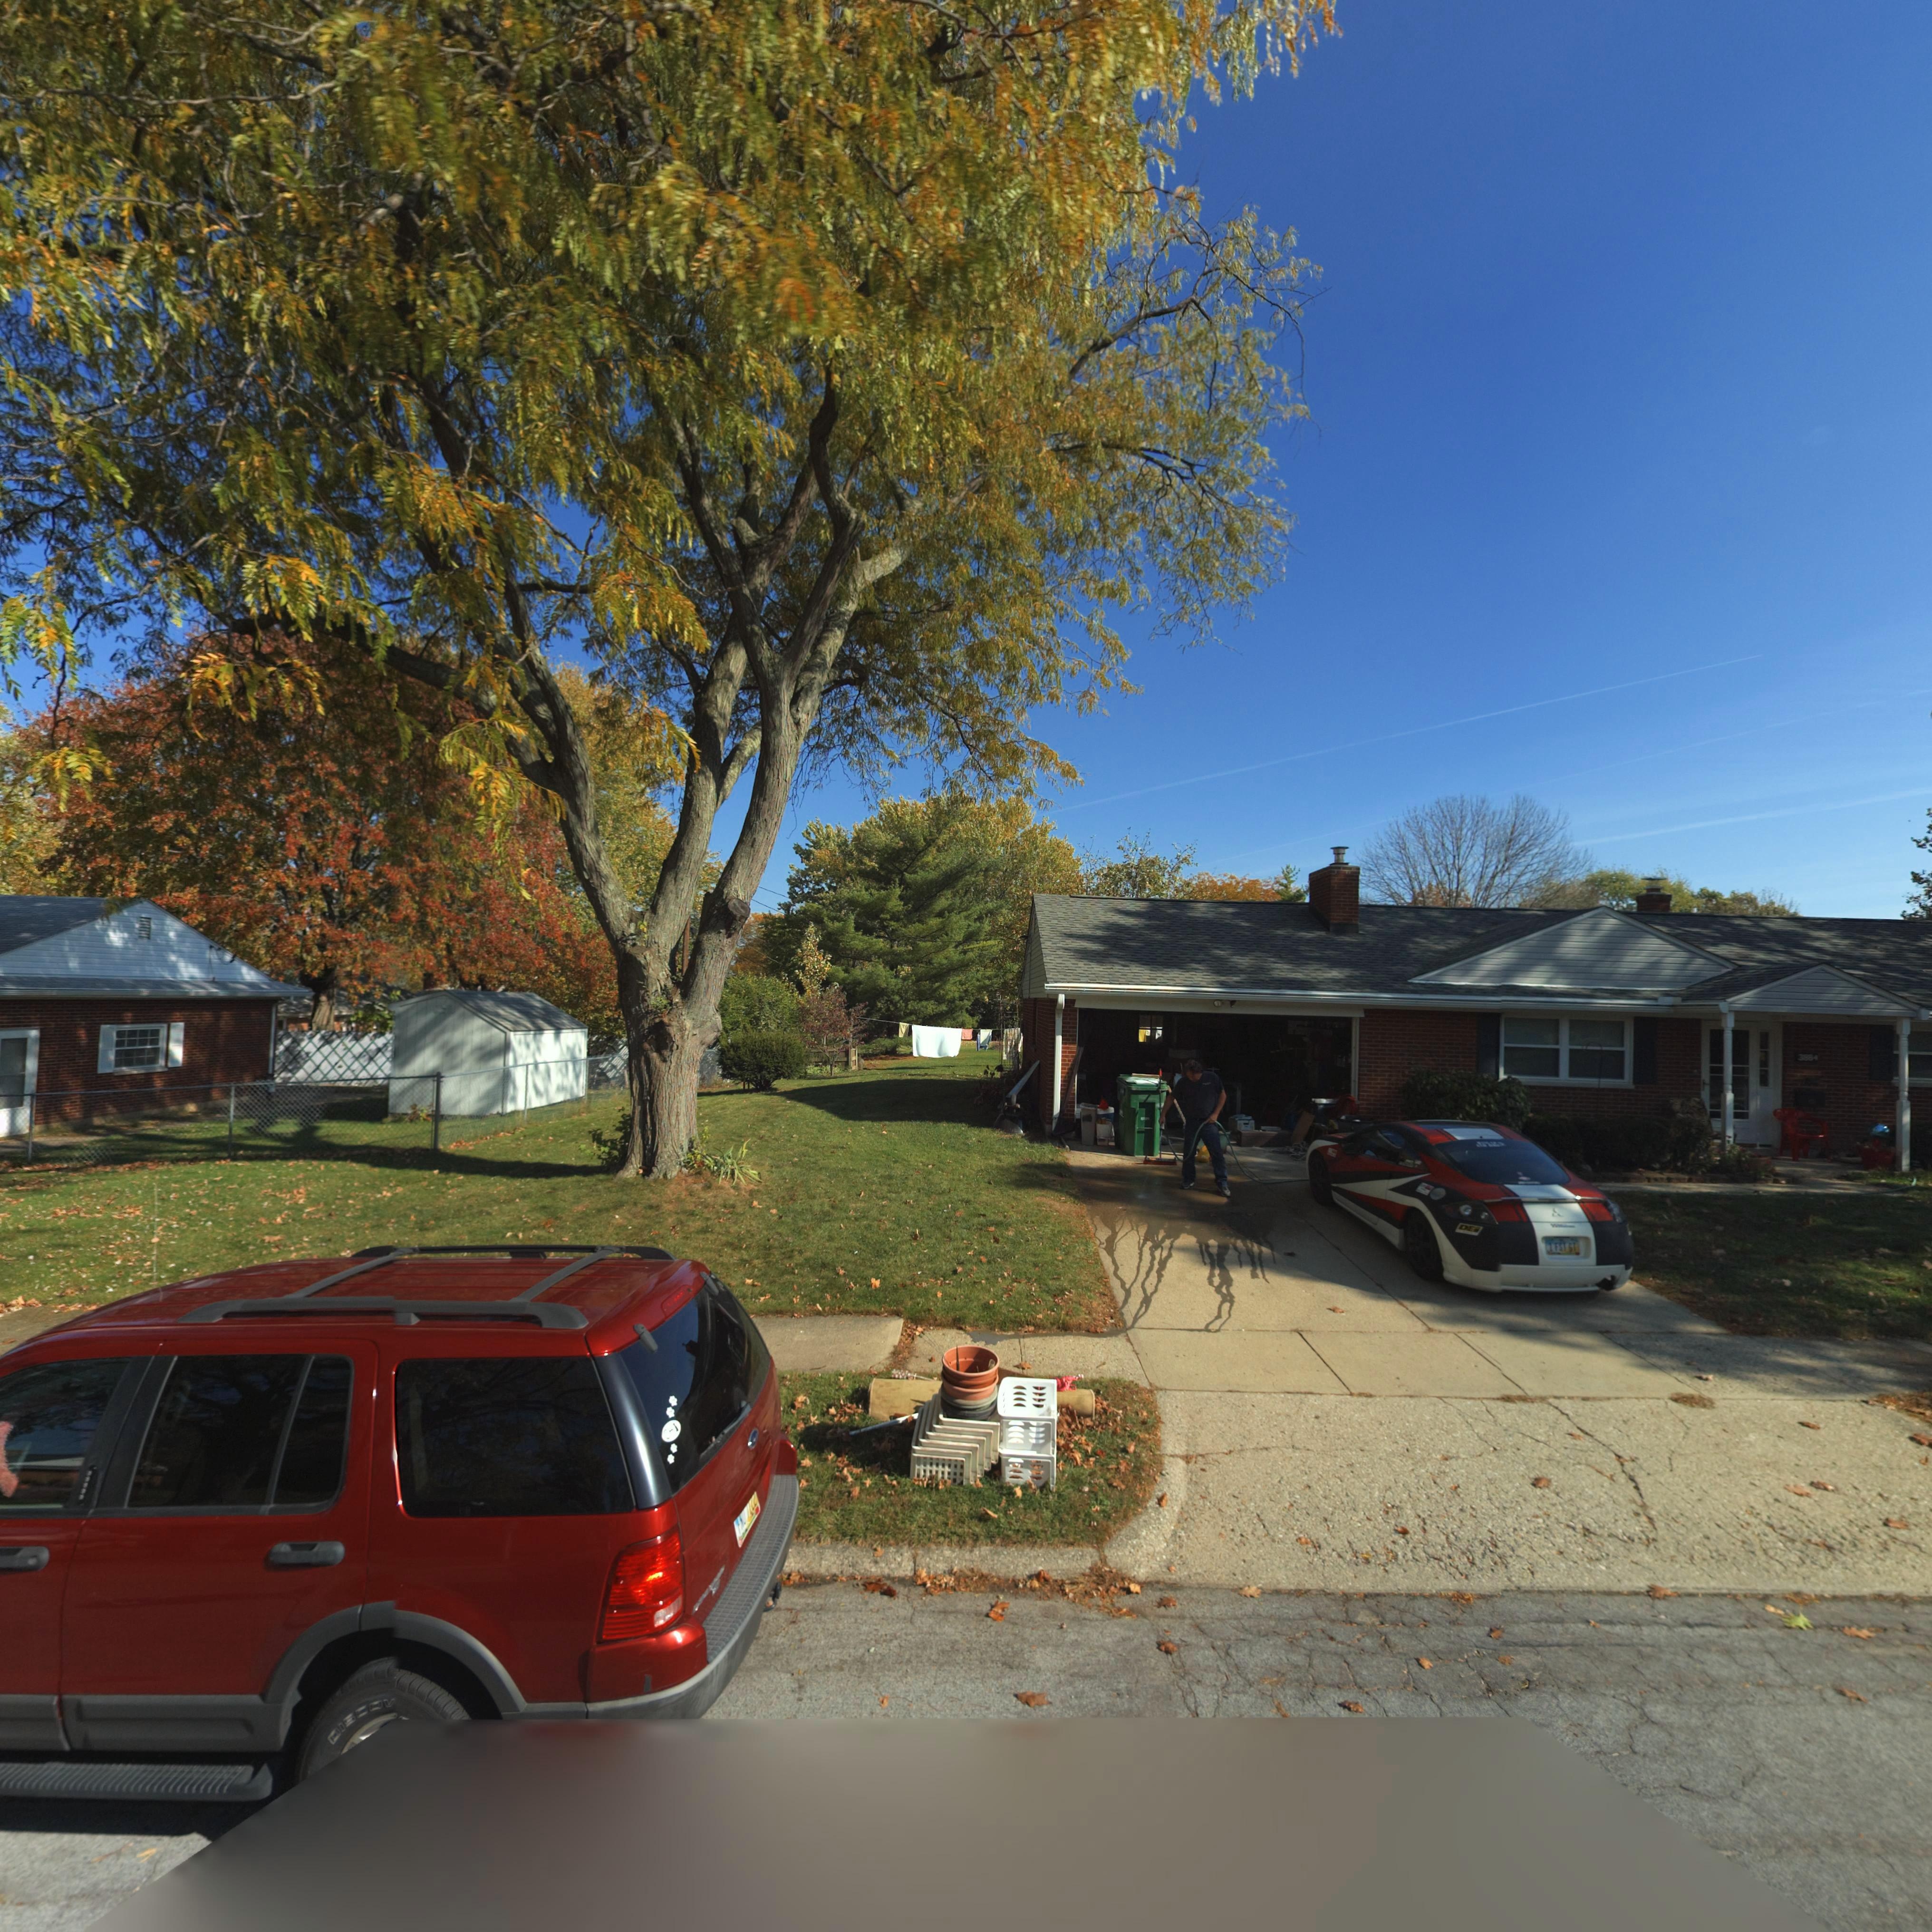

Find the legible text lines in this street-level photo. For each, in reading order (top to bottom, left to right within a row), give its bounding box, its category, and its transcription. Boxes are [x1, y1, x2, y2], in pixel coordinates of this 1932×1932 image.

[1797, 1053, 1818, 1061] StreetNumber: 3884
[1458, 1224, 1482, 1233] None: DEi
[1548, 1241, 1577, 1252] None: 1 FST GT